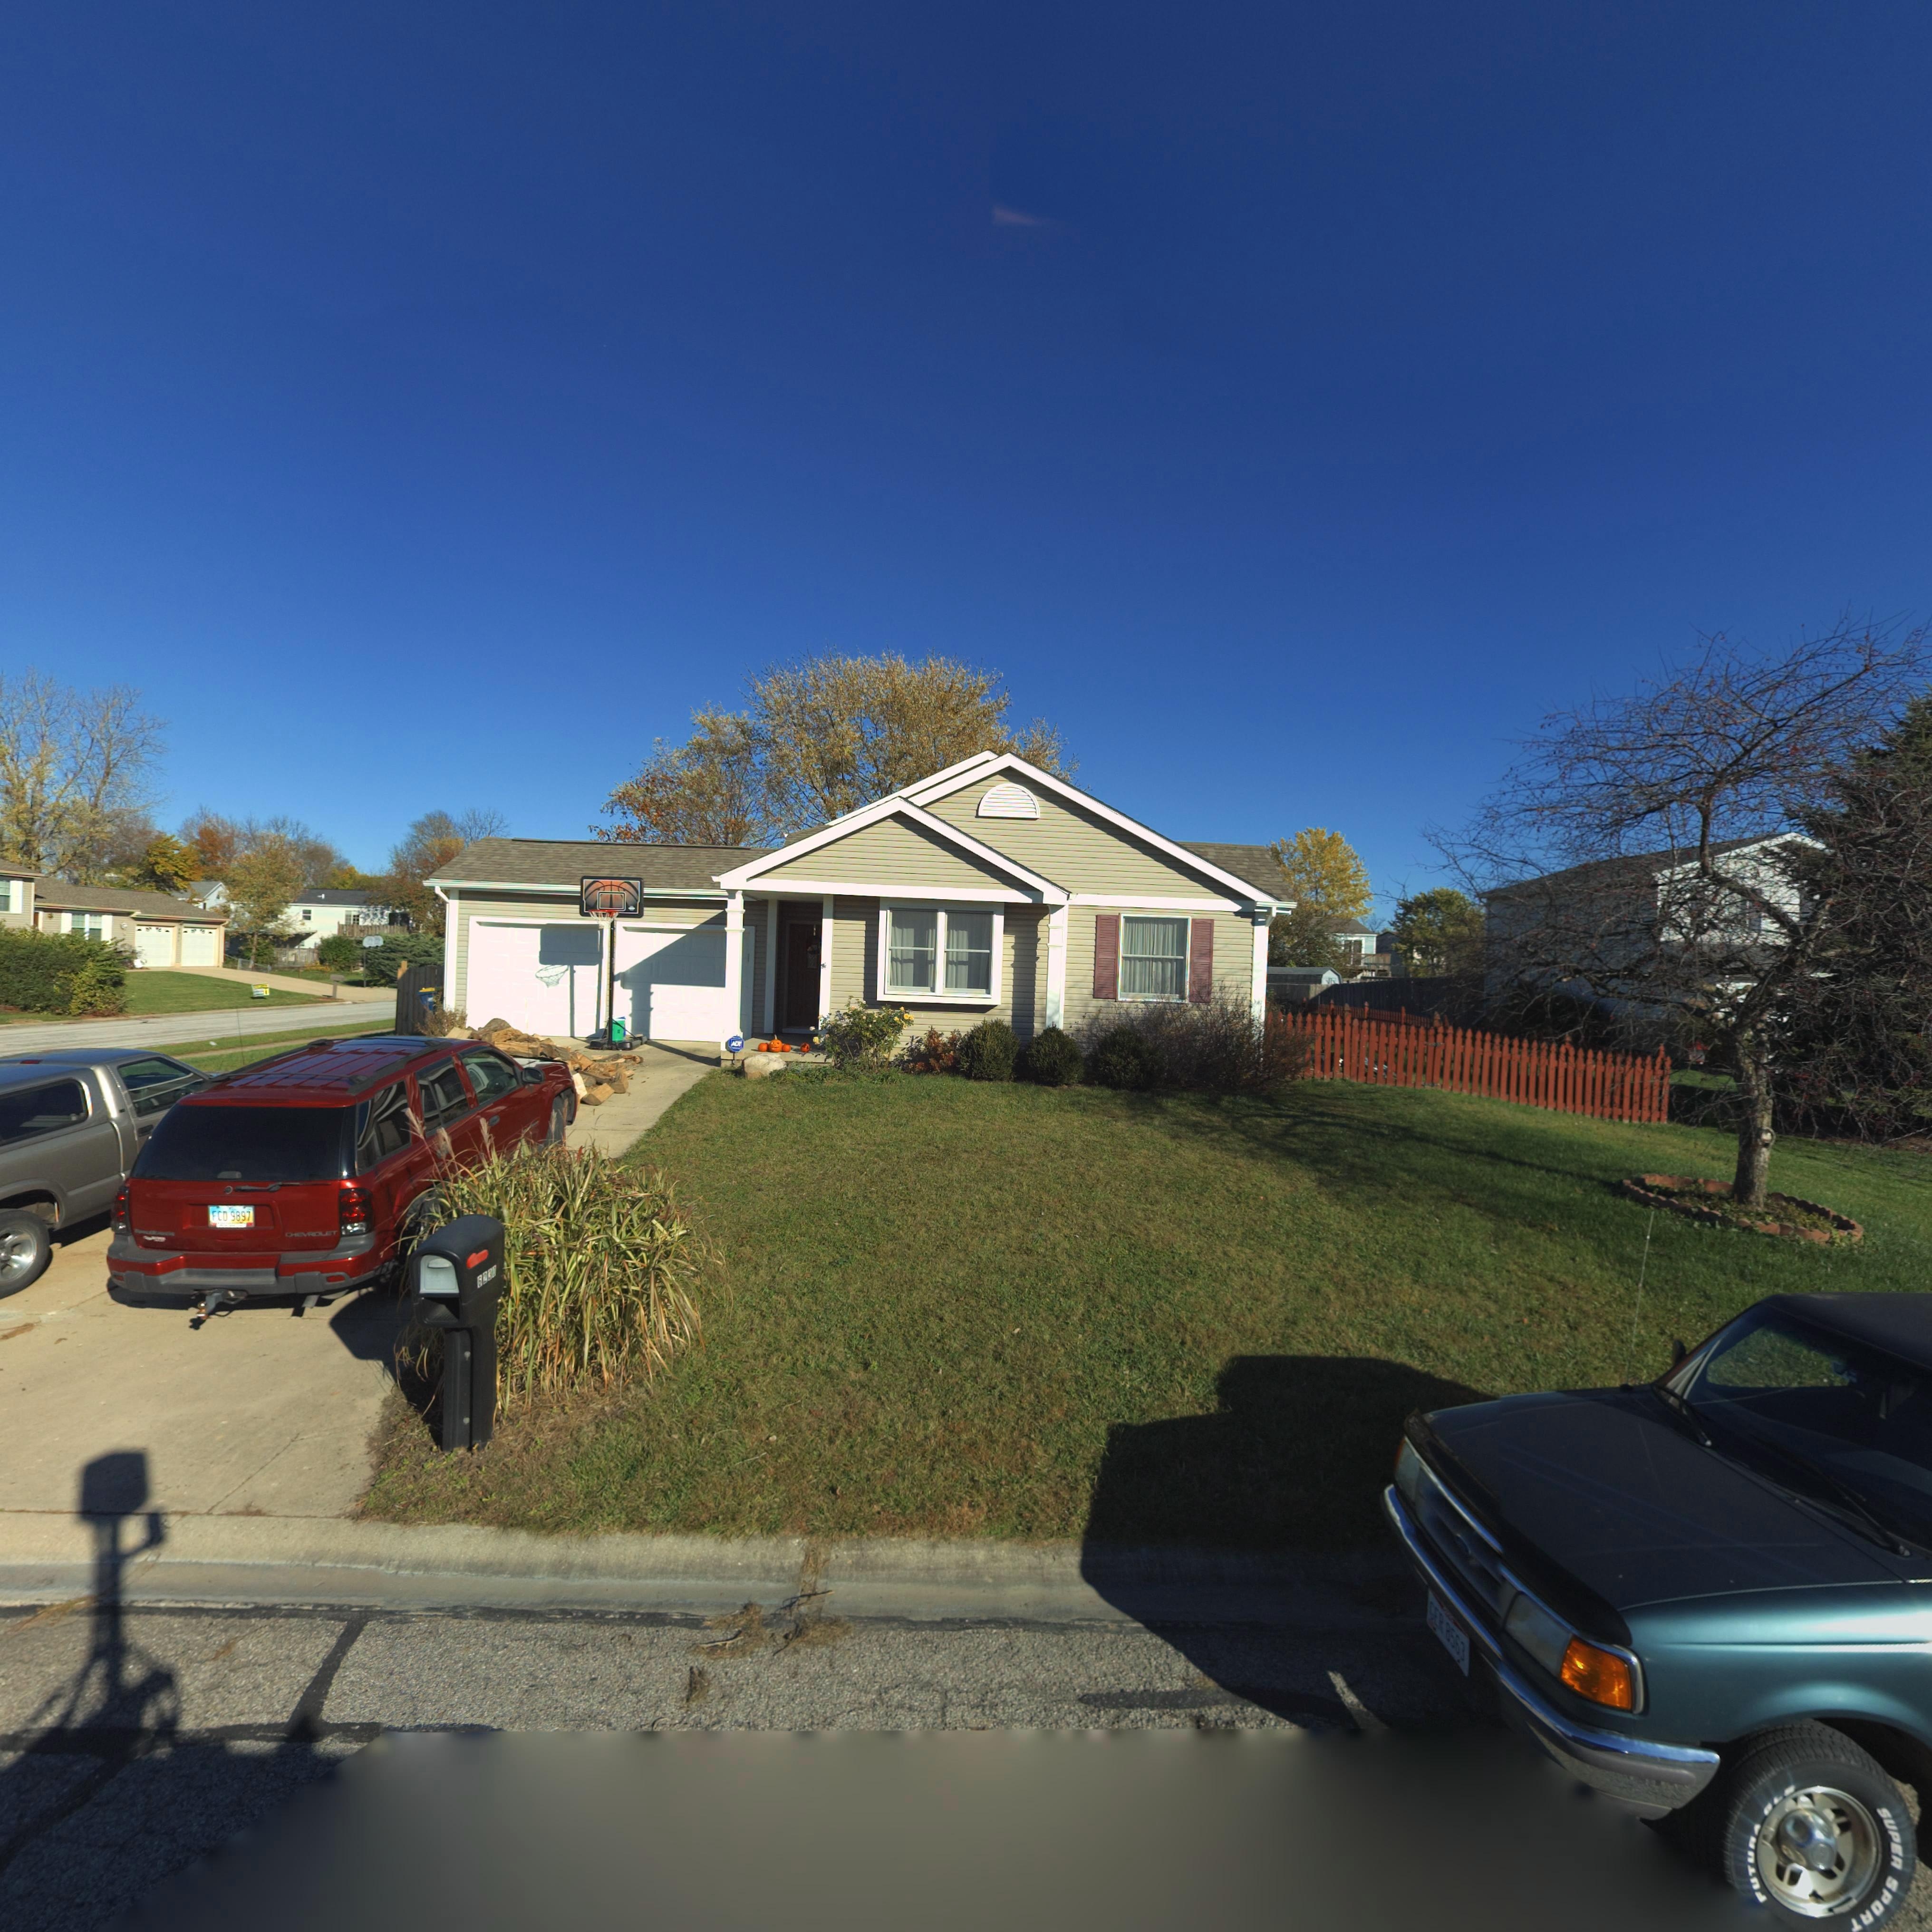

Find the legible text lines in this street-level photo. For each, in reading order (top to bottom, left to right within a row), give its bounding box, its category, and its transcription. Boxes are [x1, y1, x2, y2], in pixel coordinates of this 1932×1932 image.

[476, 1263, 497, 1290] StreetNumber: 6230